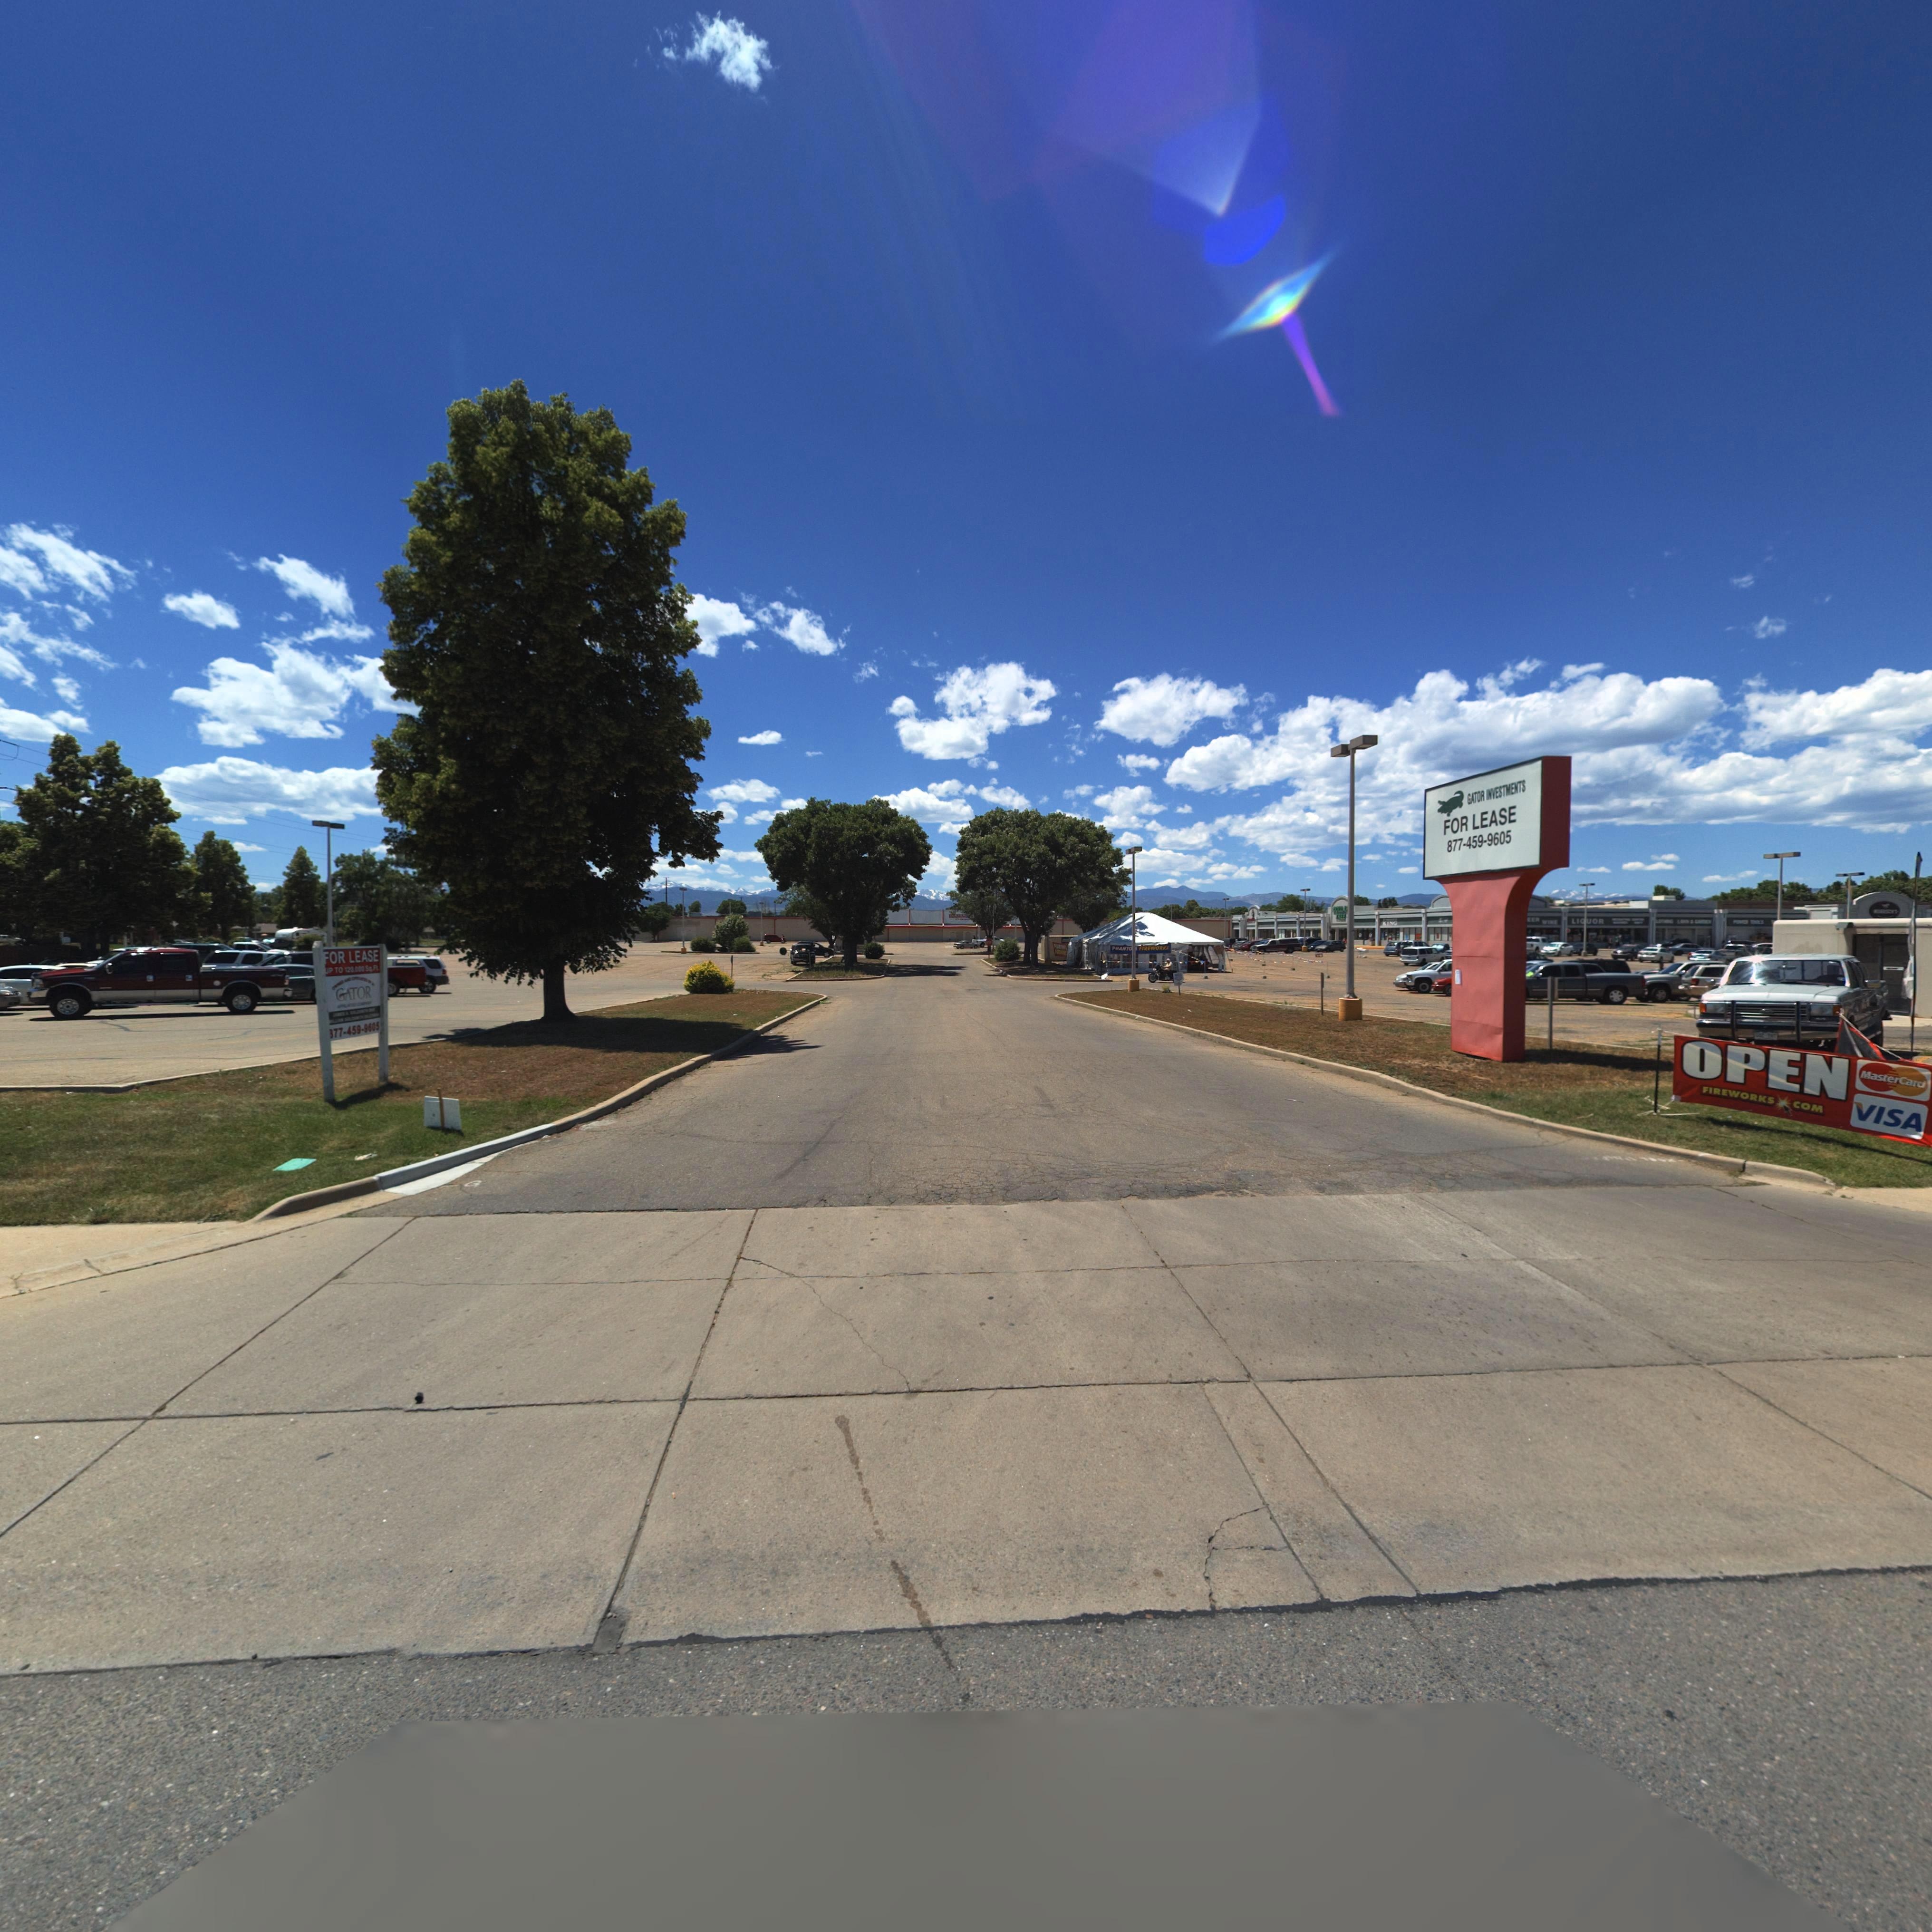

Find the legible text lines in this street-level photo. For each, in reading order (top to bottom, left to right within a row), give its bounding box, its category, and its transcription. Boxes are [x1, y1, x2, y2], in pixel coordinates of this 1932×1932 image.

[1332, 906, 1348, 912] BusinessName: DOLLA*
[1873, 909, 1897, 914] BusinessName: *******'S
[1335, 913, 1345, 919] BusinessName: TREE
[1382, 920, 1397, 926] BusinessName: KING